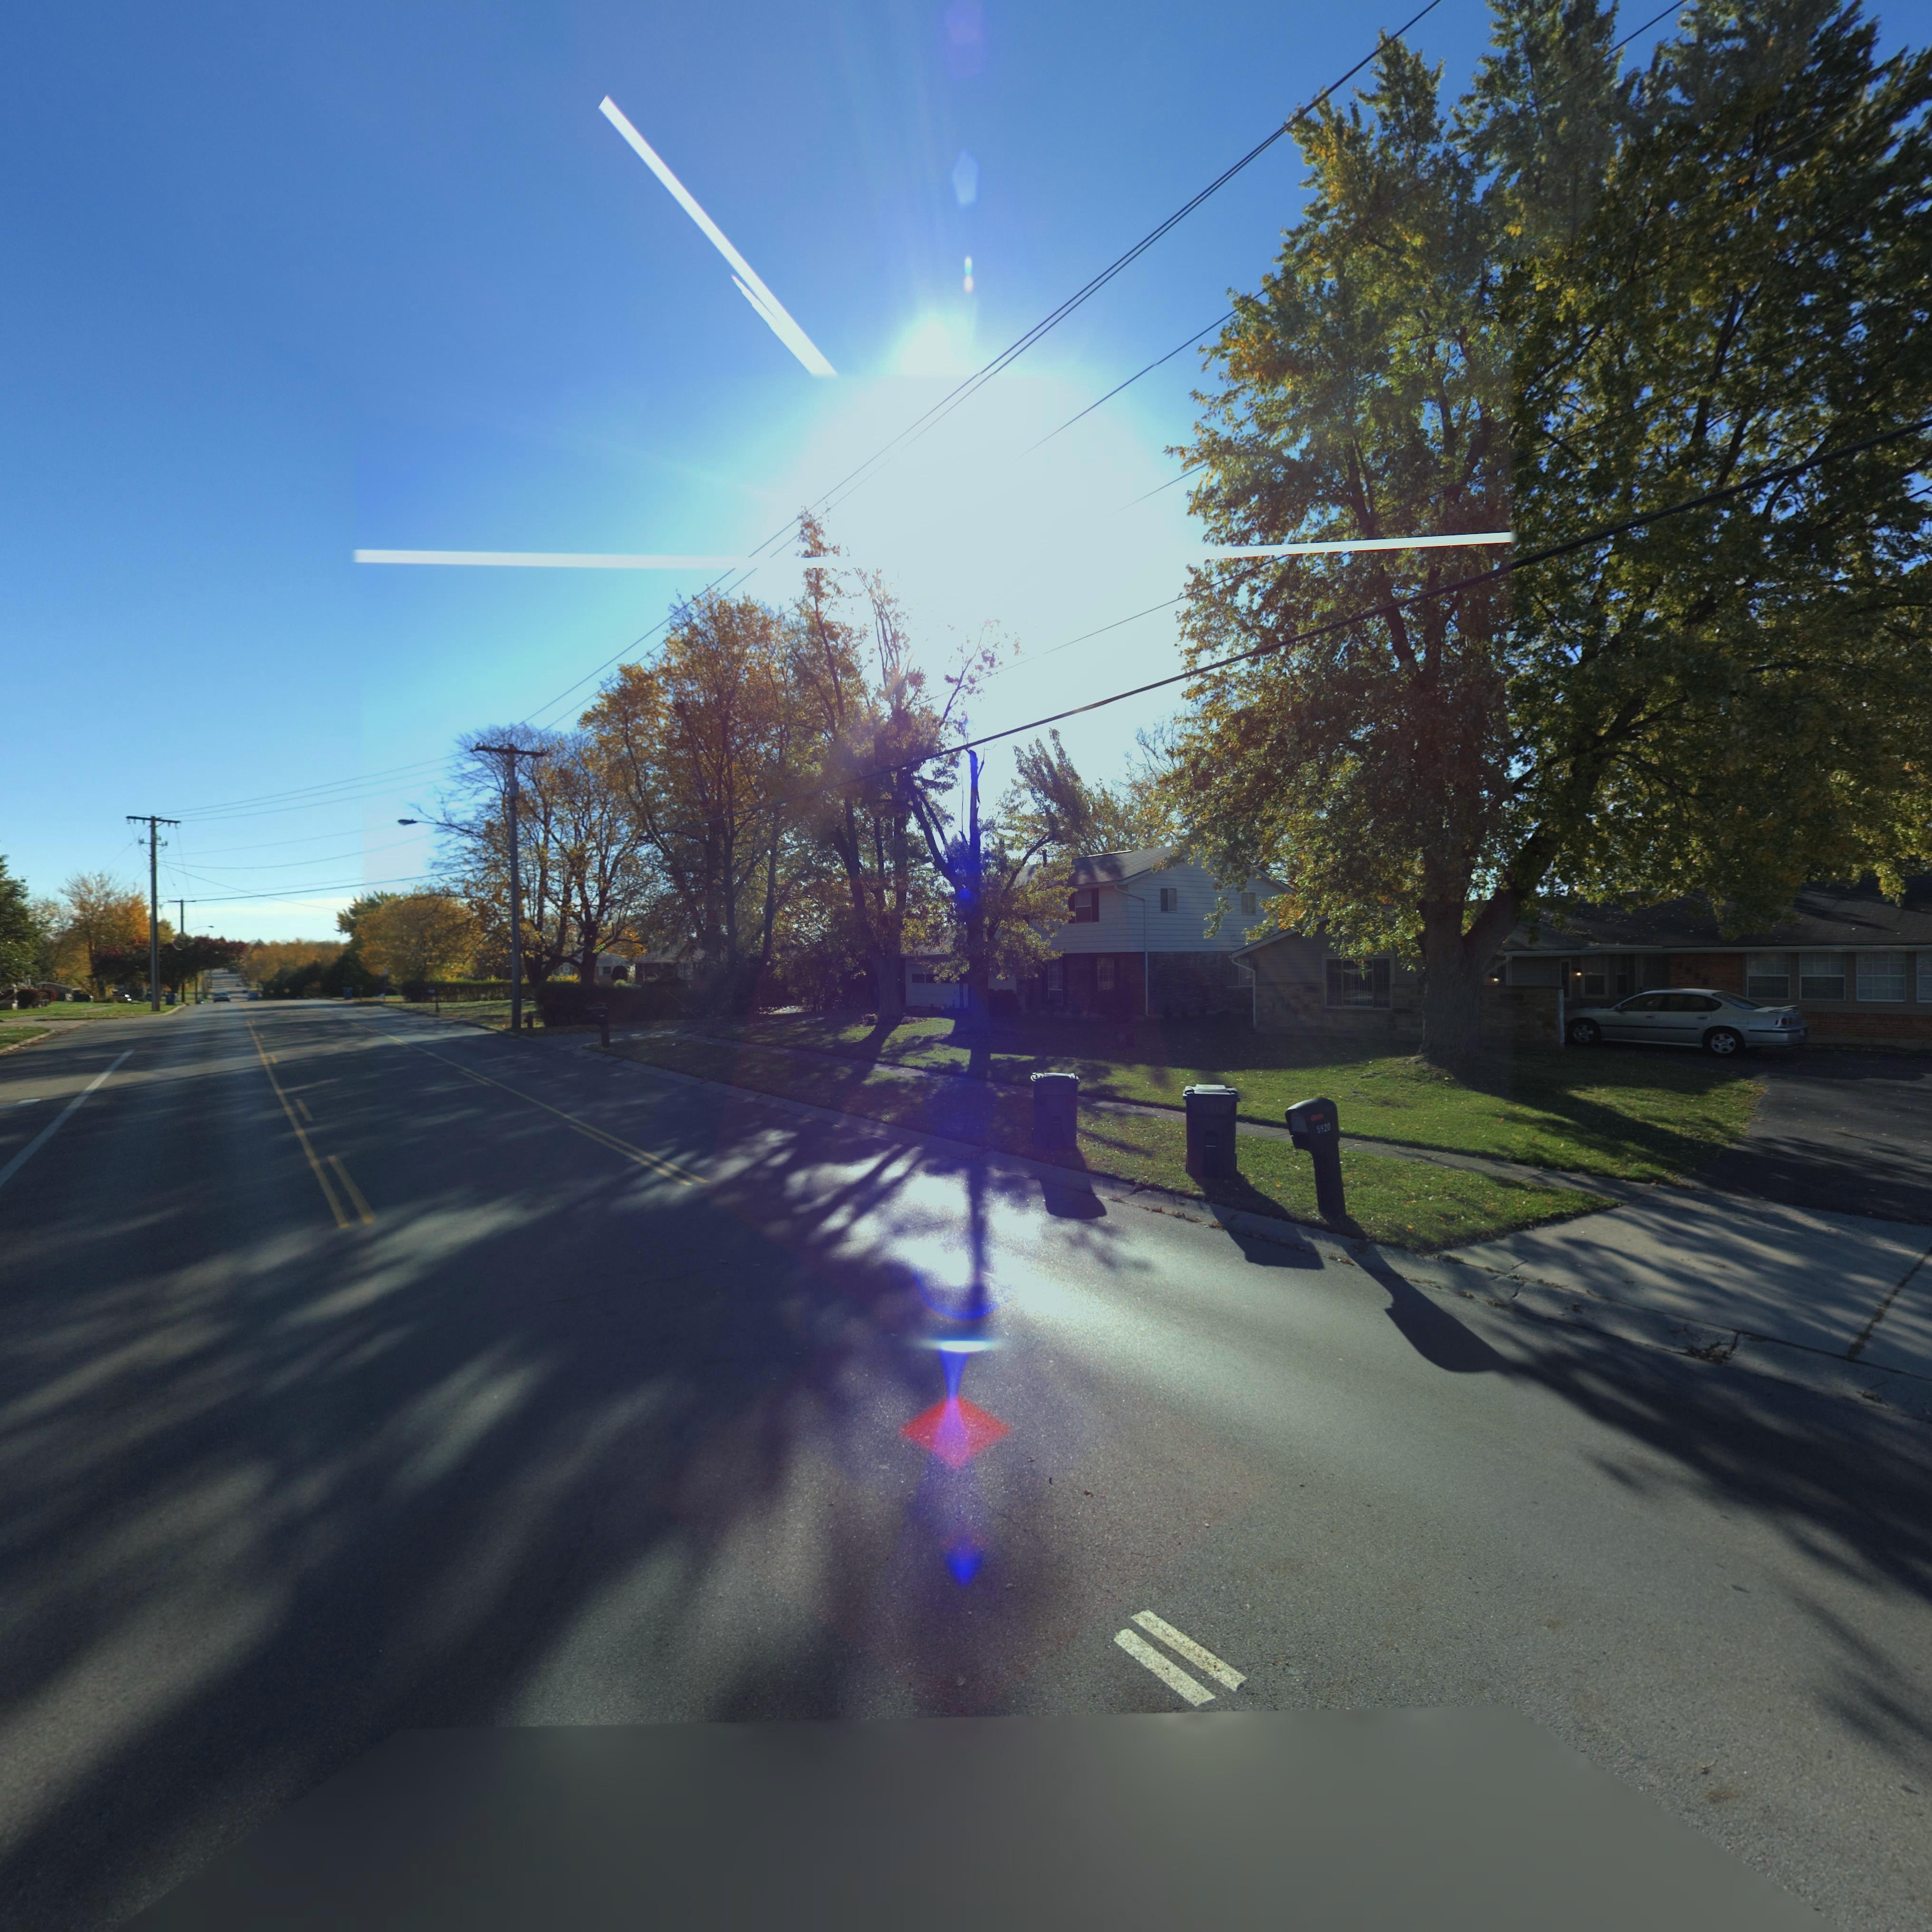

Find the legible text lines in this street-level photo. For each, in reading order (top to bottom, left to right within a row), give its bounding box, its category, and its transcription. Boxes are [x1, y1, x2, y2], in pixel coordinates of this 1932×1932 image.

[1676, 961, 1709, 985] StreetNumber: 5920
[1316, 1122, 1331, 1134] StreetNumber: 5920